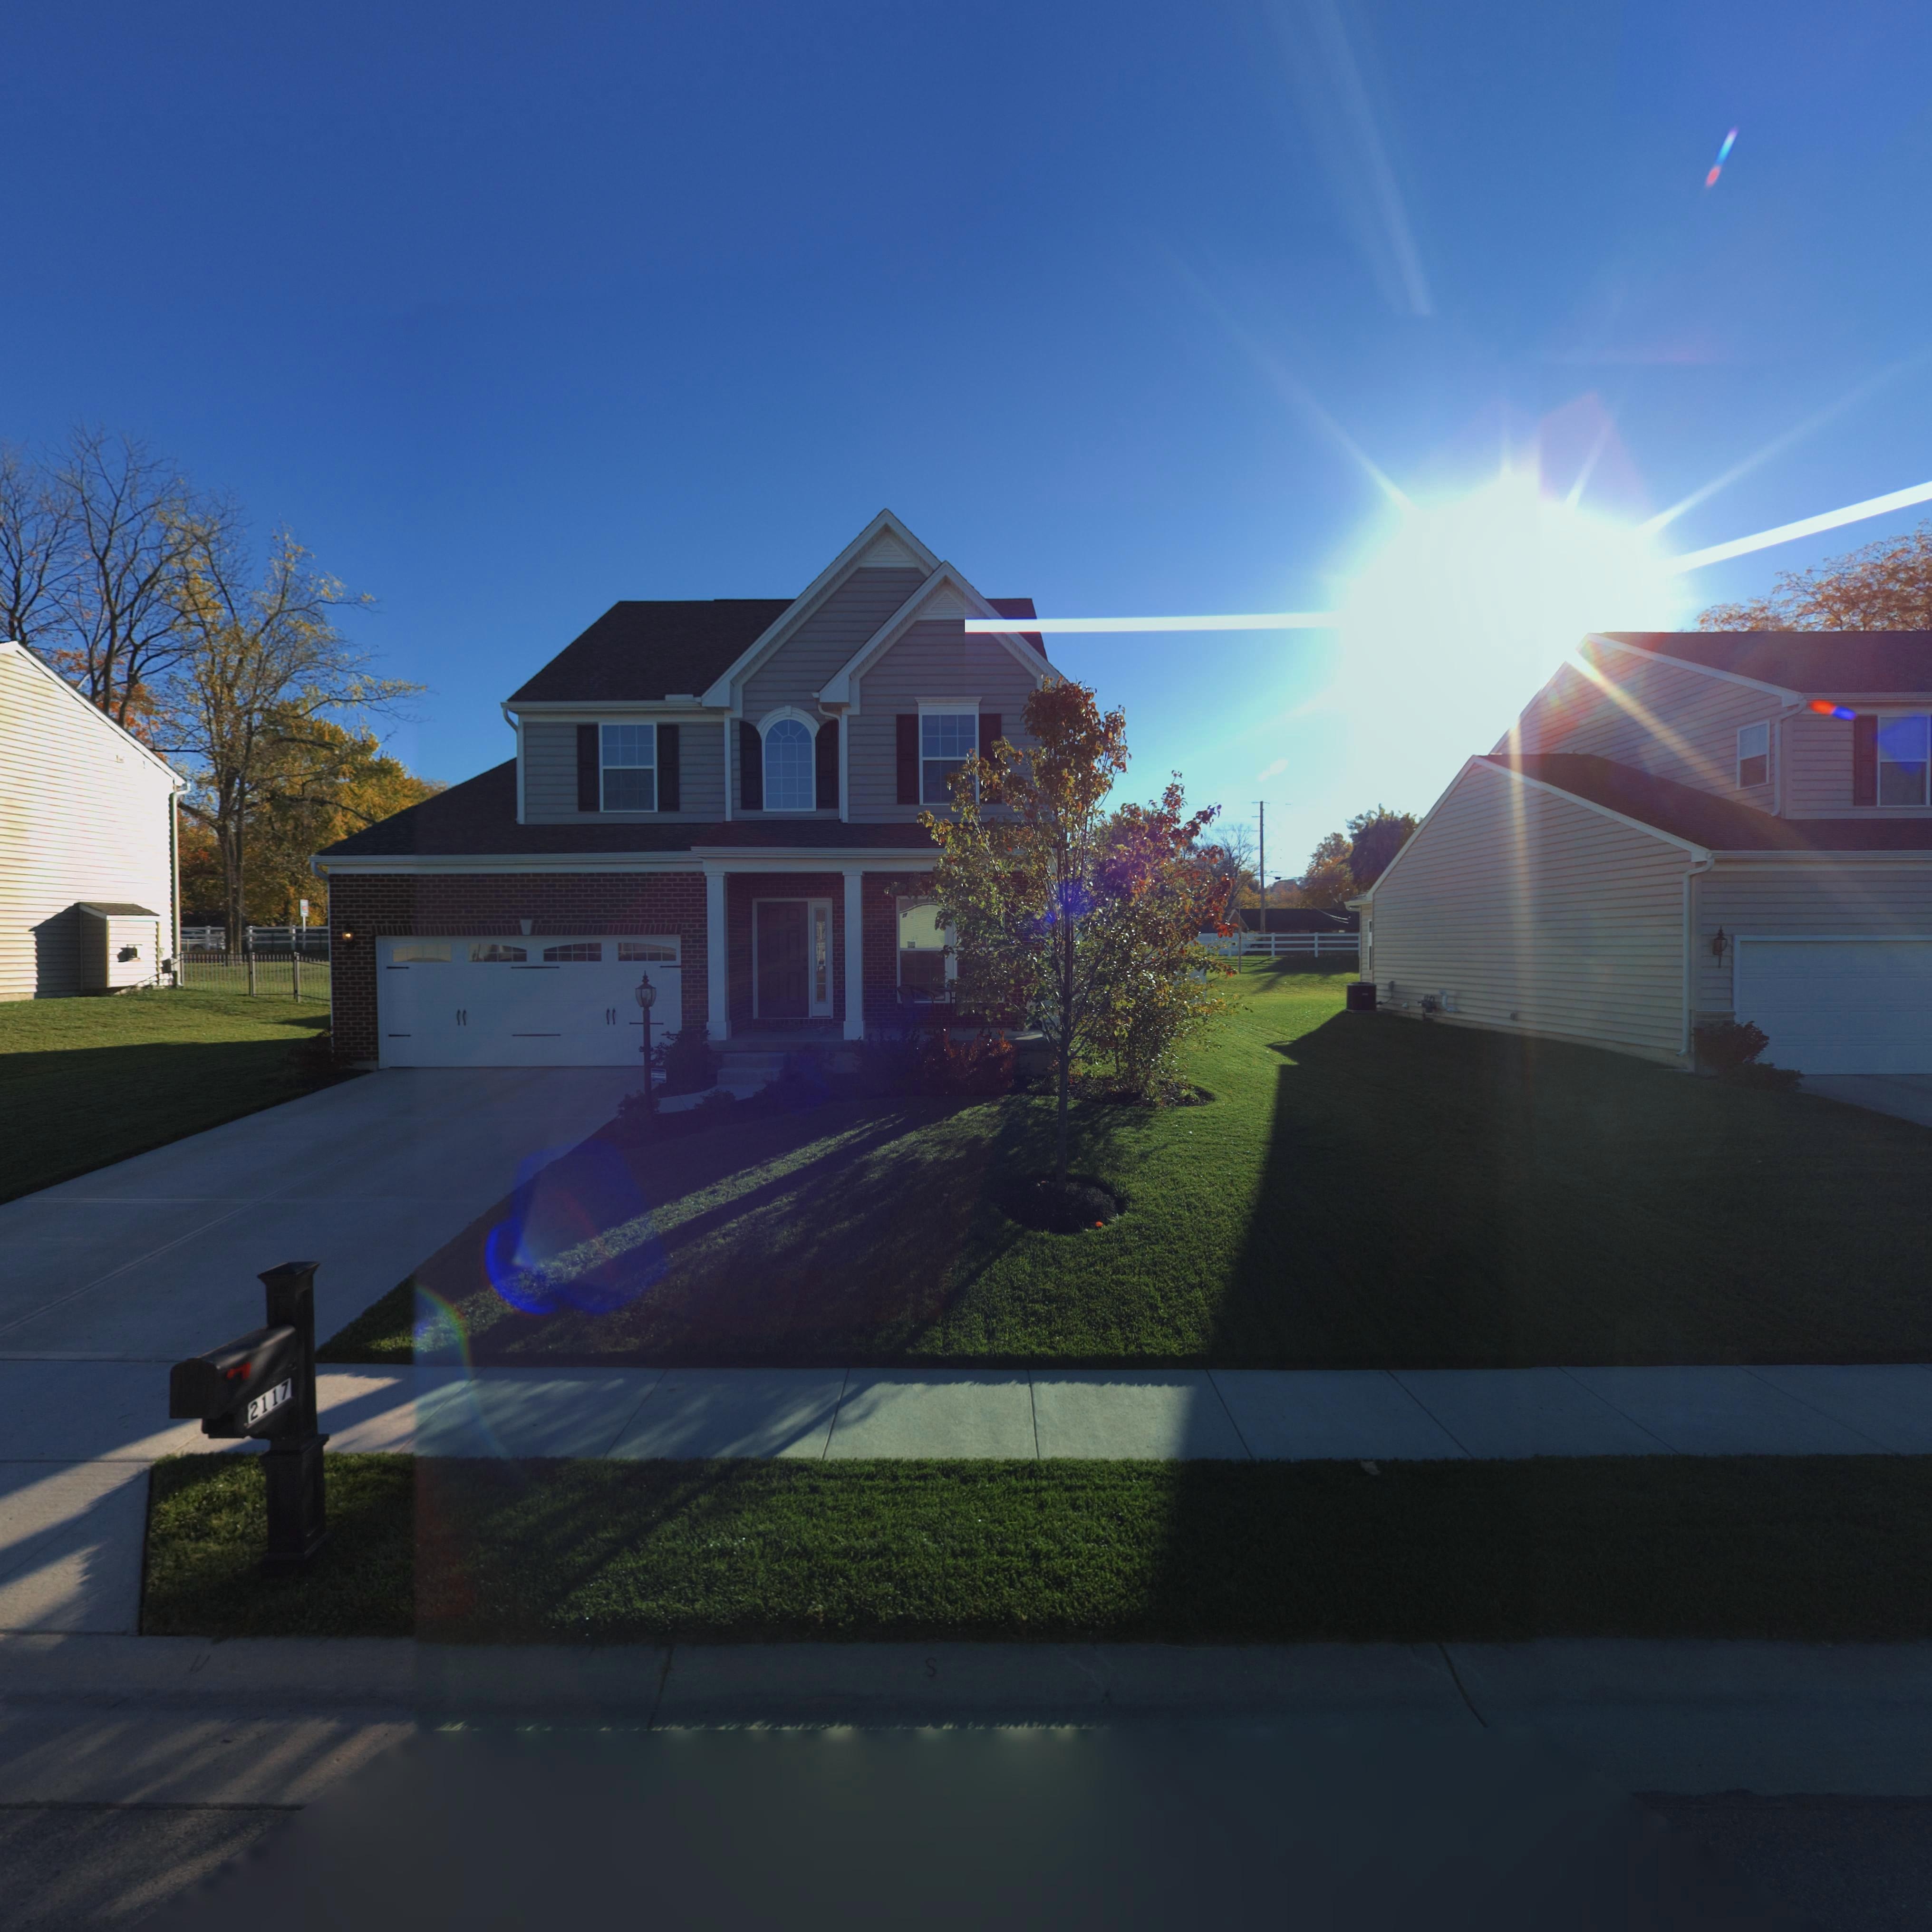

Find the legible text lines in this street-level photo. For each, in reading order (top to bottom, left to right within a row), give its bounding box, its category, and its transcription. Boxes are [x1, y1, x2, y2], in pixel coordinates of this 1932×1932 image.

[248, 1376, 291, 1424] StreetNumber: 2117